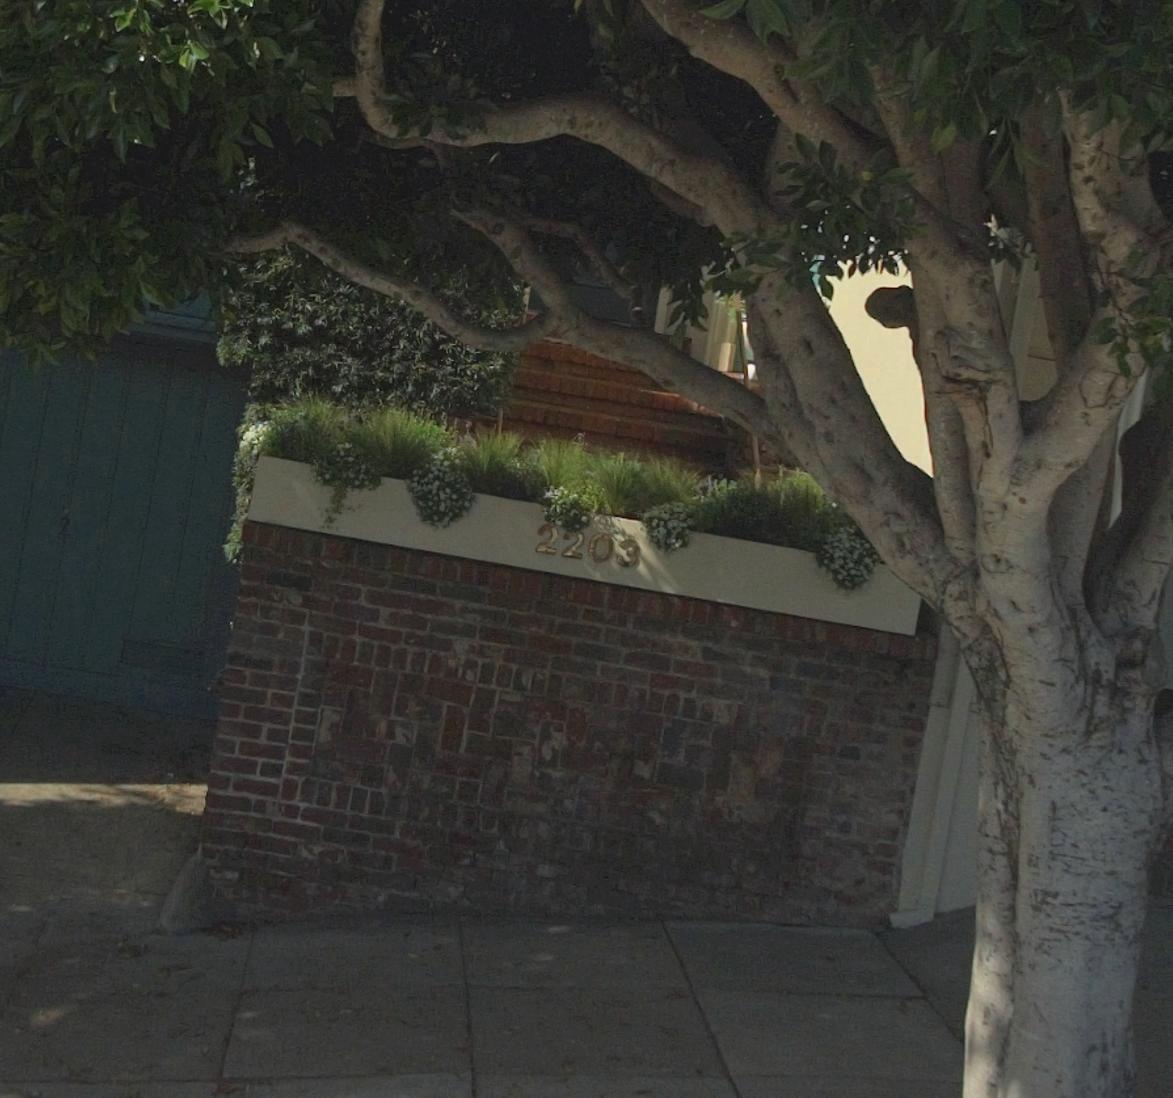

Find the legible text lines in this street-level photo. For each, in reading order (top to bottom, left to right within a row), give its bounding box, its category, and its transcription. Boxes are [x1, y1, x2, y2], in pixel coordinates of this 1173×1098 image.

[532, 522, 643, 571] StreetNumber: 2203